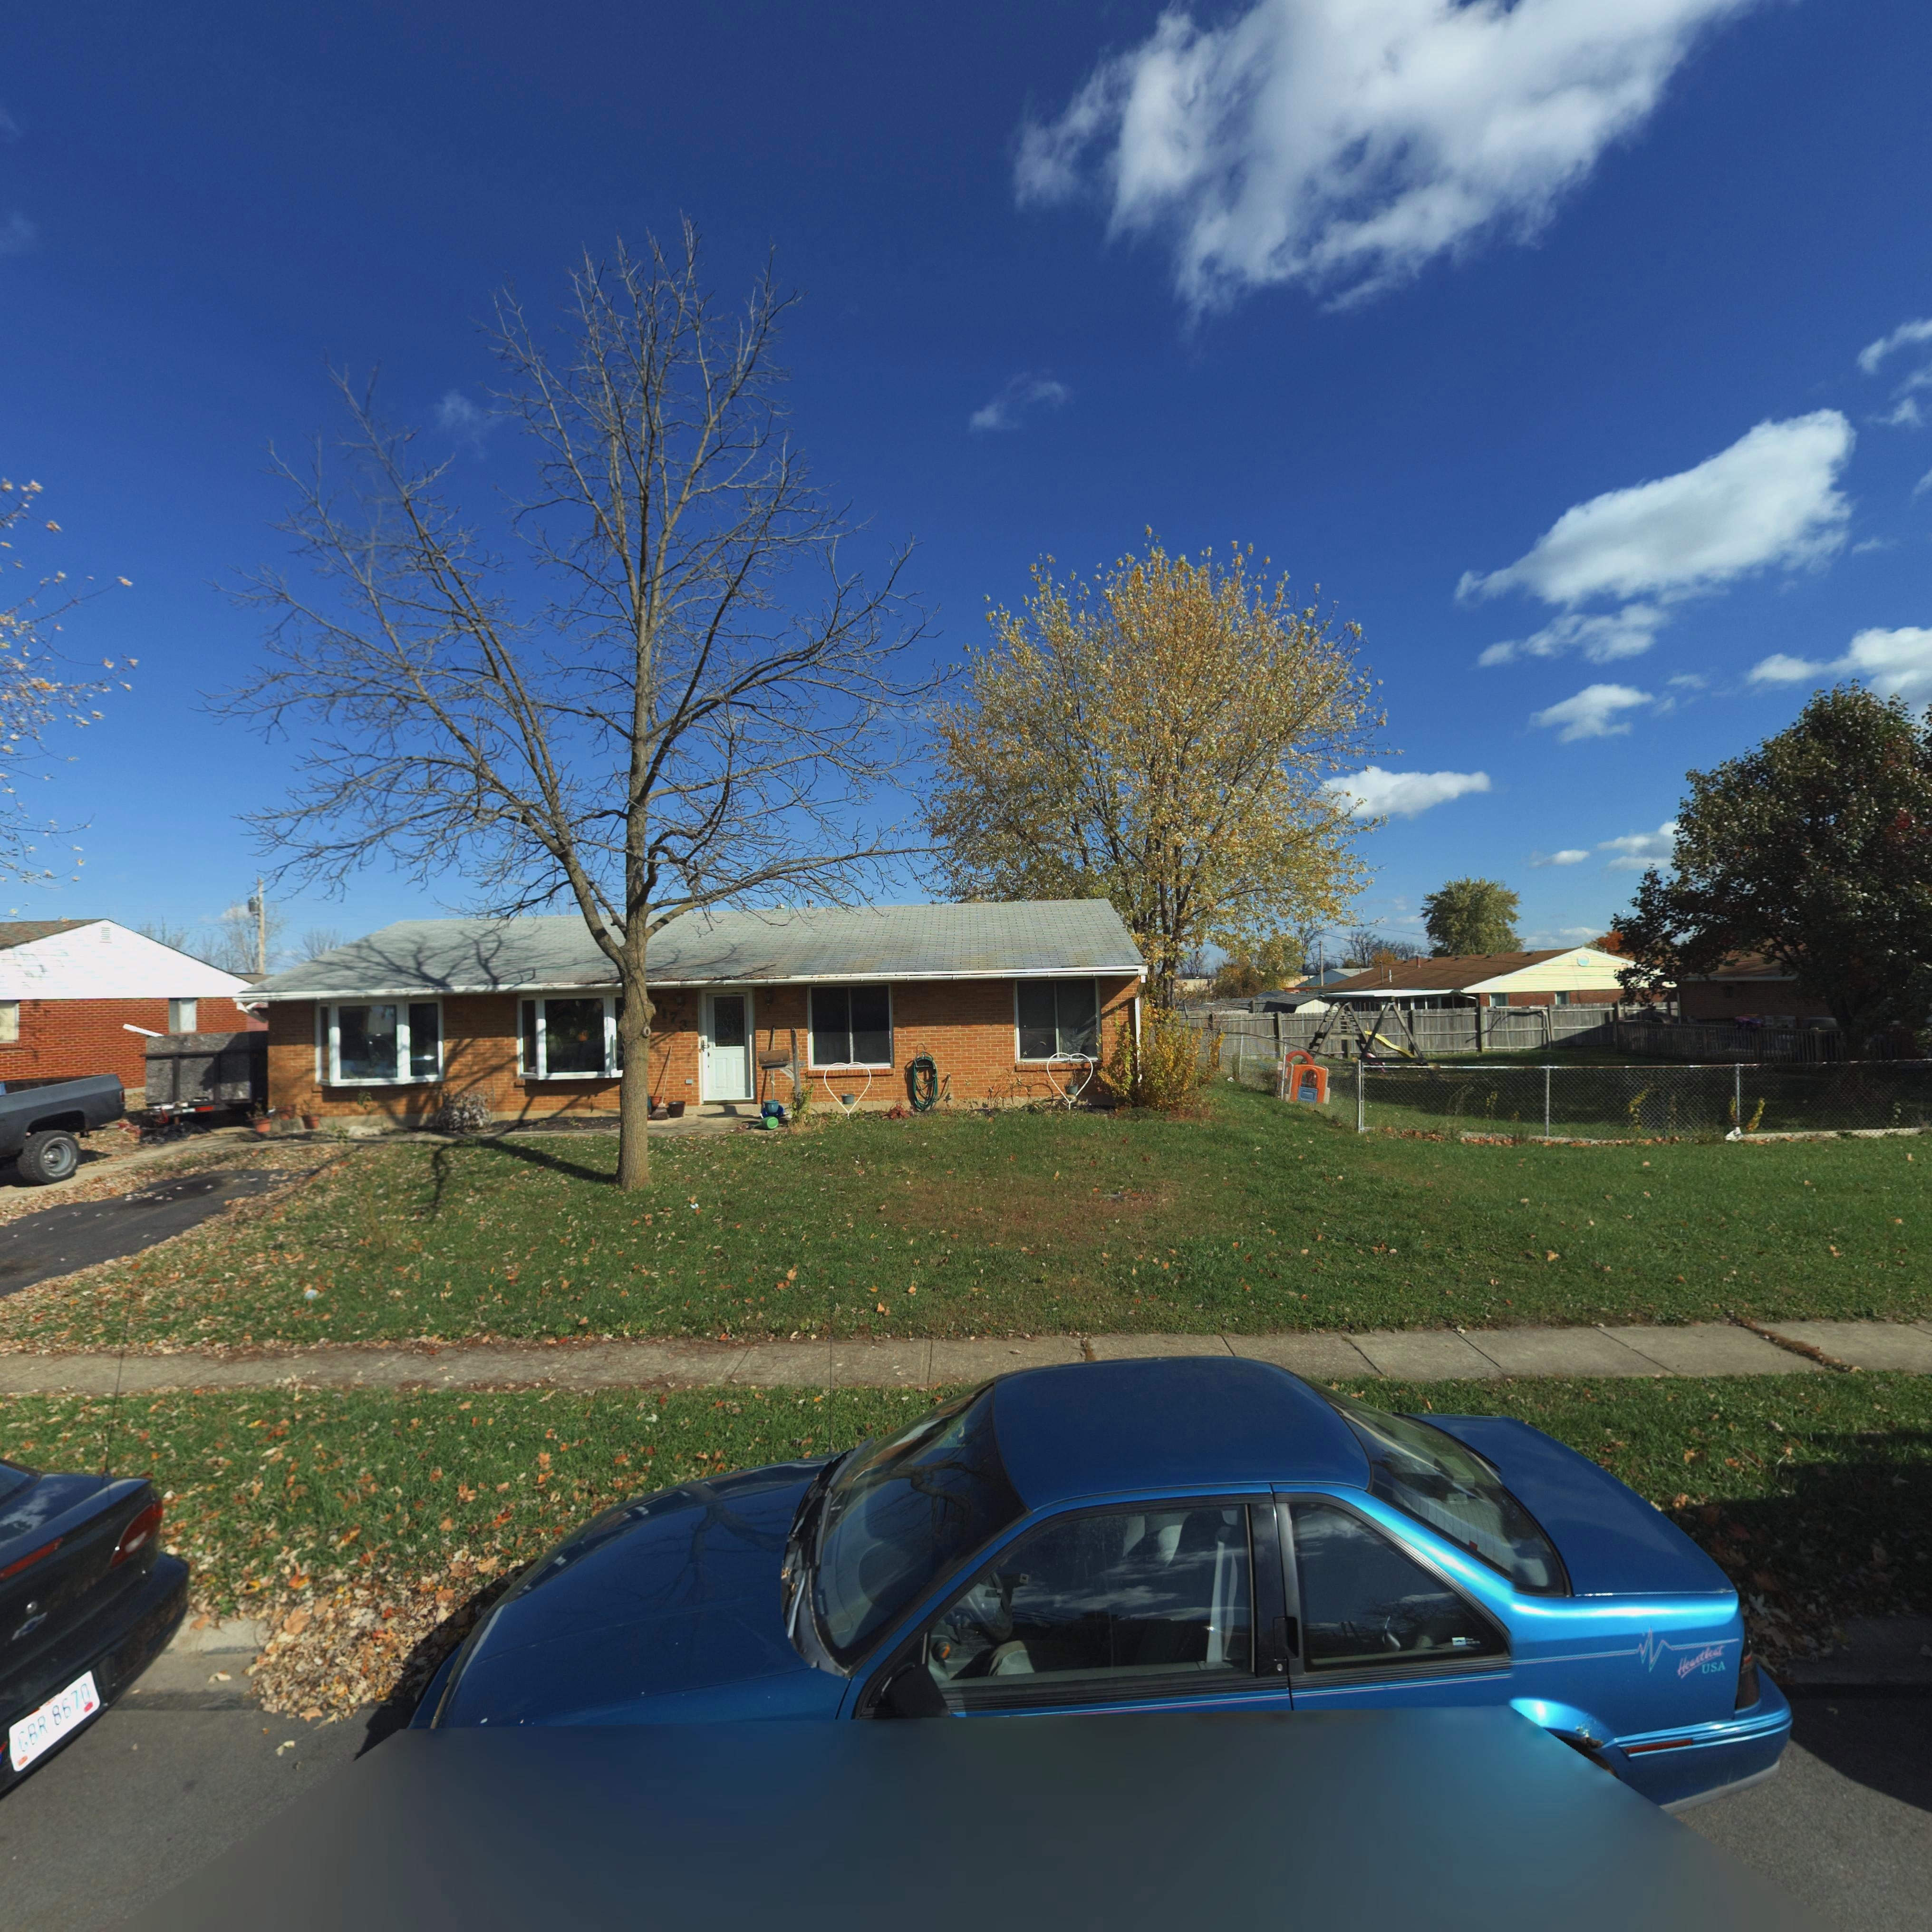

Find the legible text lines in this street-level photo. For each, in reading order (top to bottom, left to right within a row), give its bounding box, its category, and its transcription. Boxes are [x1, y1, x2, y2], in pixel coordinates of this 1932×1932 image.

[650, 998, 689, 1033] StreetNumber: *173